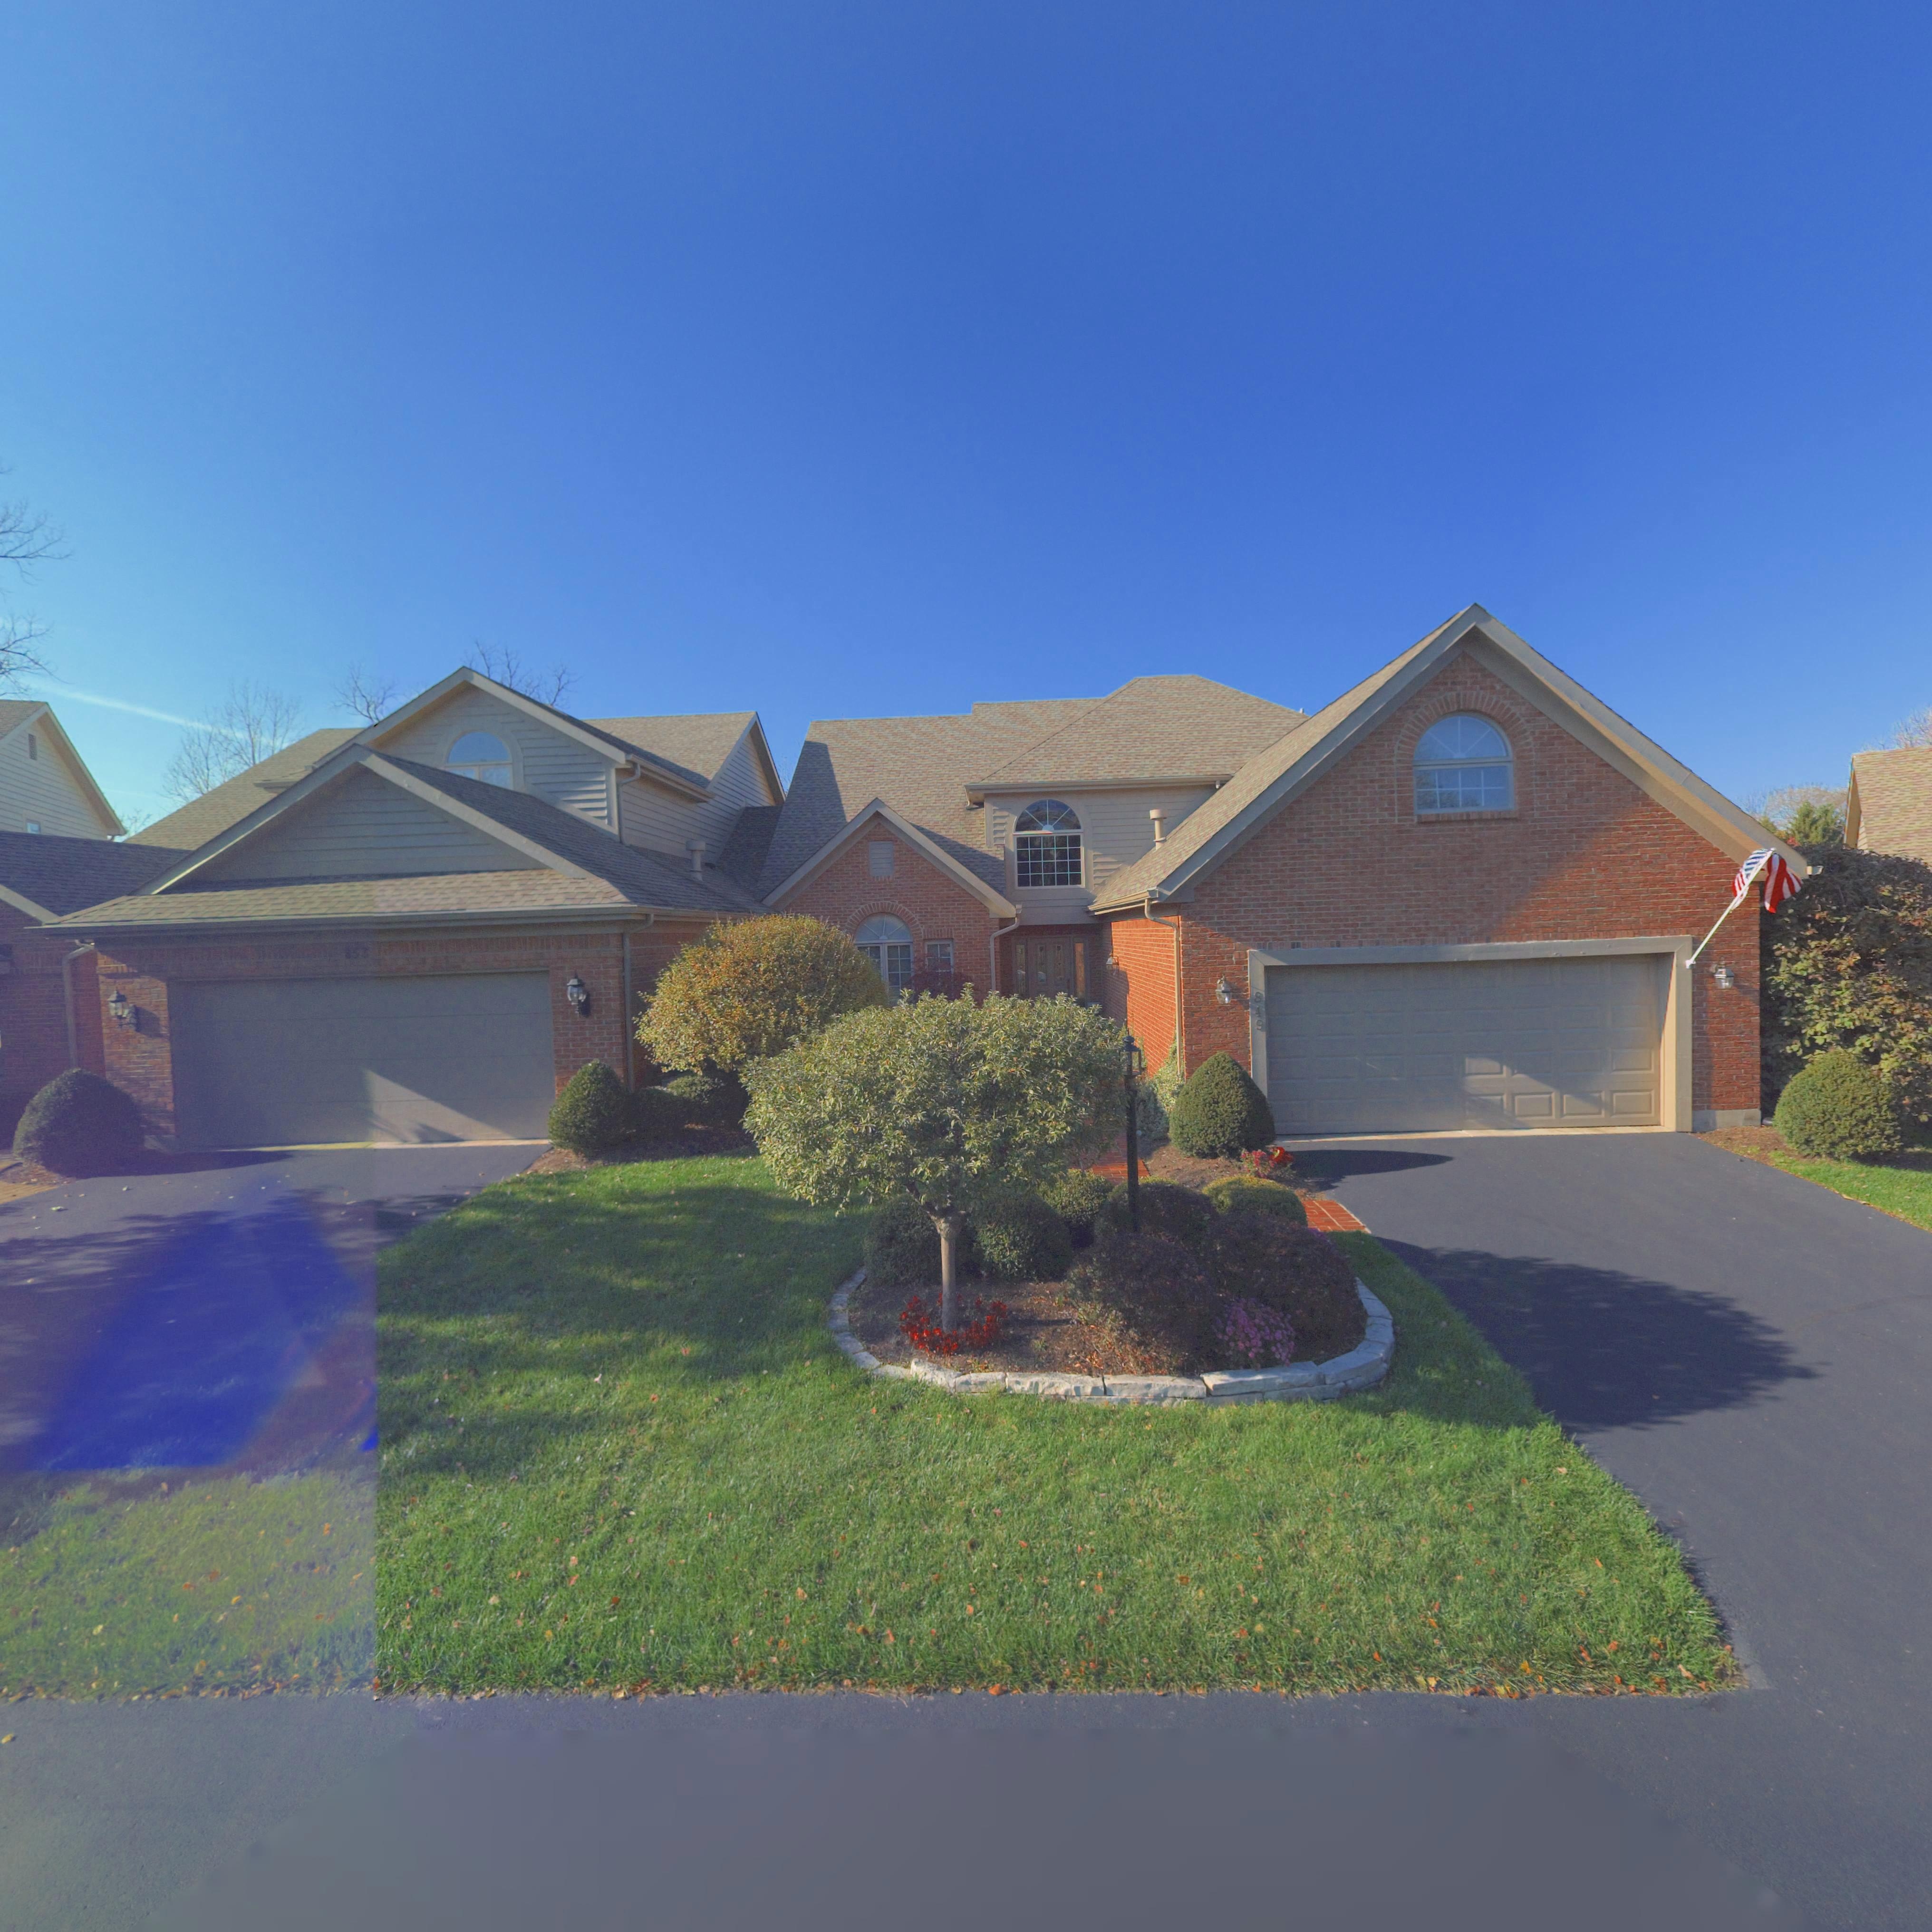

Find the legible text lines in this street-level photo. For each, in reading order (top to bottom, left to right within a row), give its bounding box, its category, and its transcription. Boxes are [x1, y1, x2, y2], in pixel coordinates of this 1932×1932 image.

[344, 946, 368, 961] StreetNumber: 853
[1253, 990, 1265, 1032] StreetNumber: 849